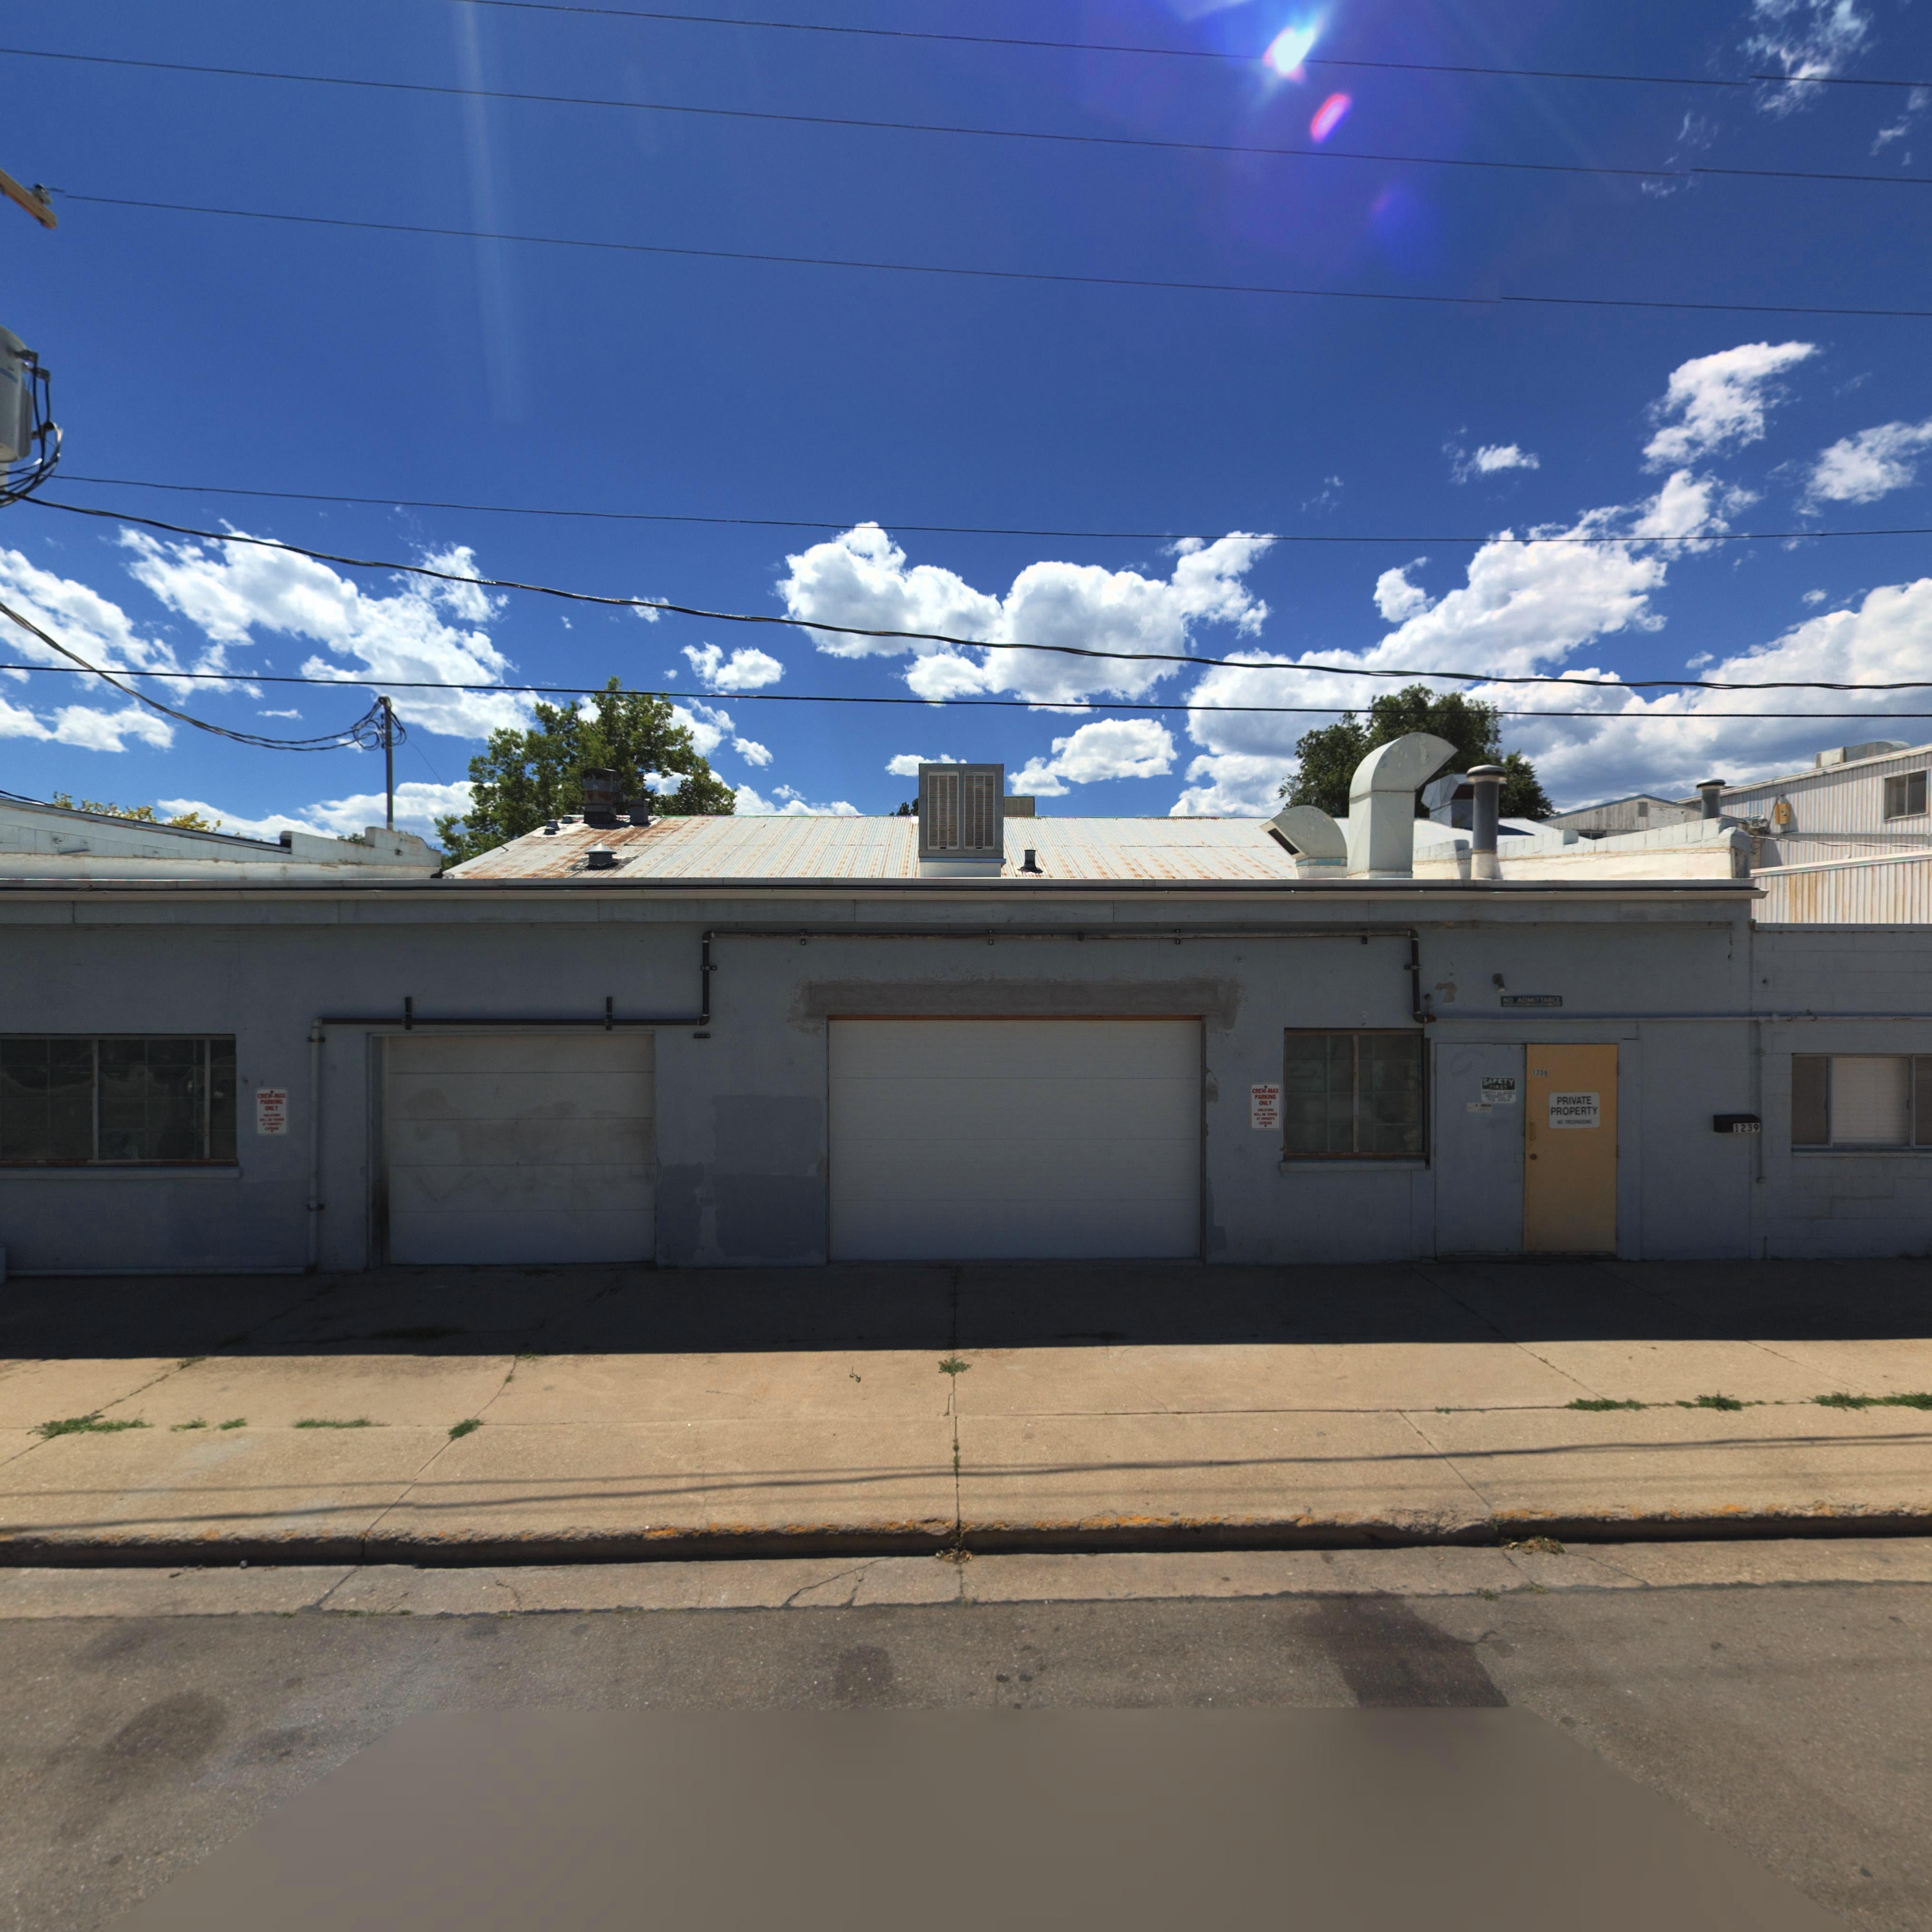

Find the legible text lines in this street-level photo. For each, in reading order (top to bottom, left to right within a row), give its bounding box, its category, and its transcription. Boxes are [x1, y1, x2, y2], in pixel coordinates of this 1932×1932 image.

[1532, 1068, 1547, 1076] StreetNumber: 123*
[1735, 1123, 1760, 1132] StreetNumber: 1239